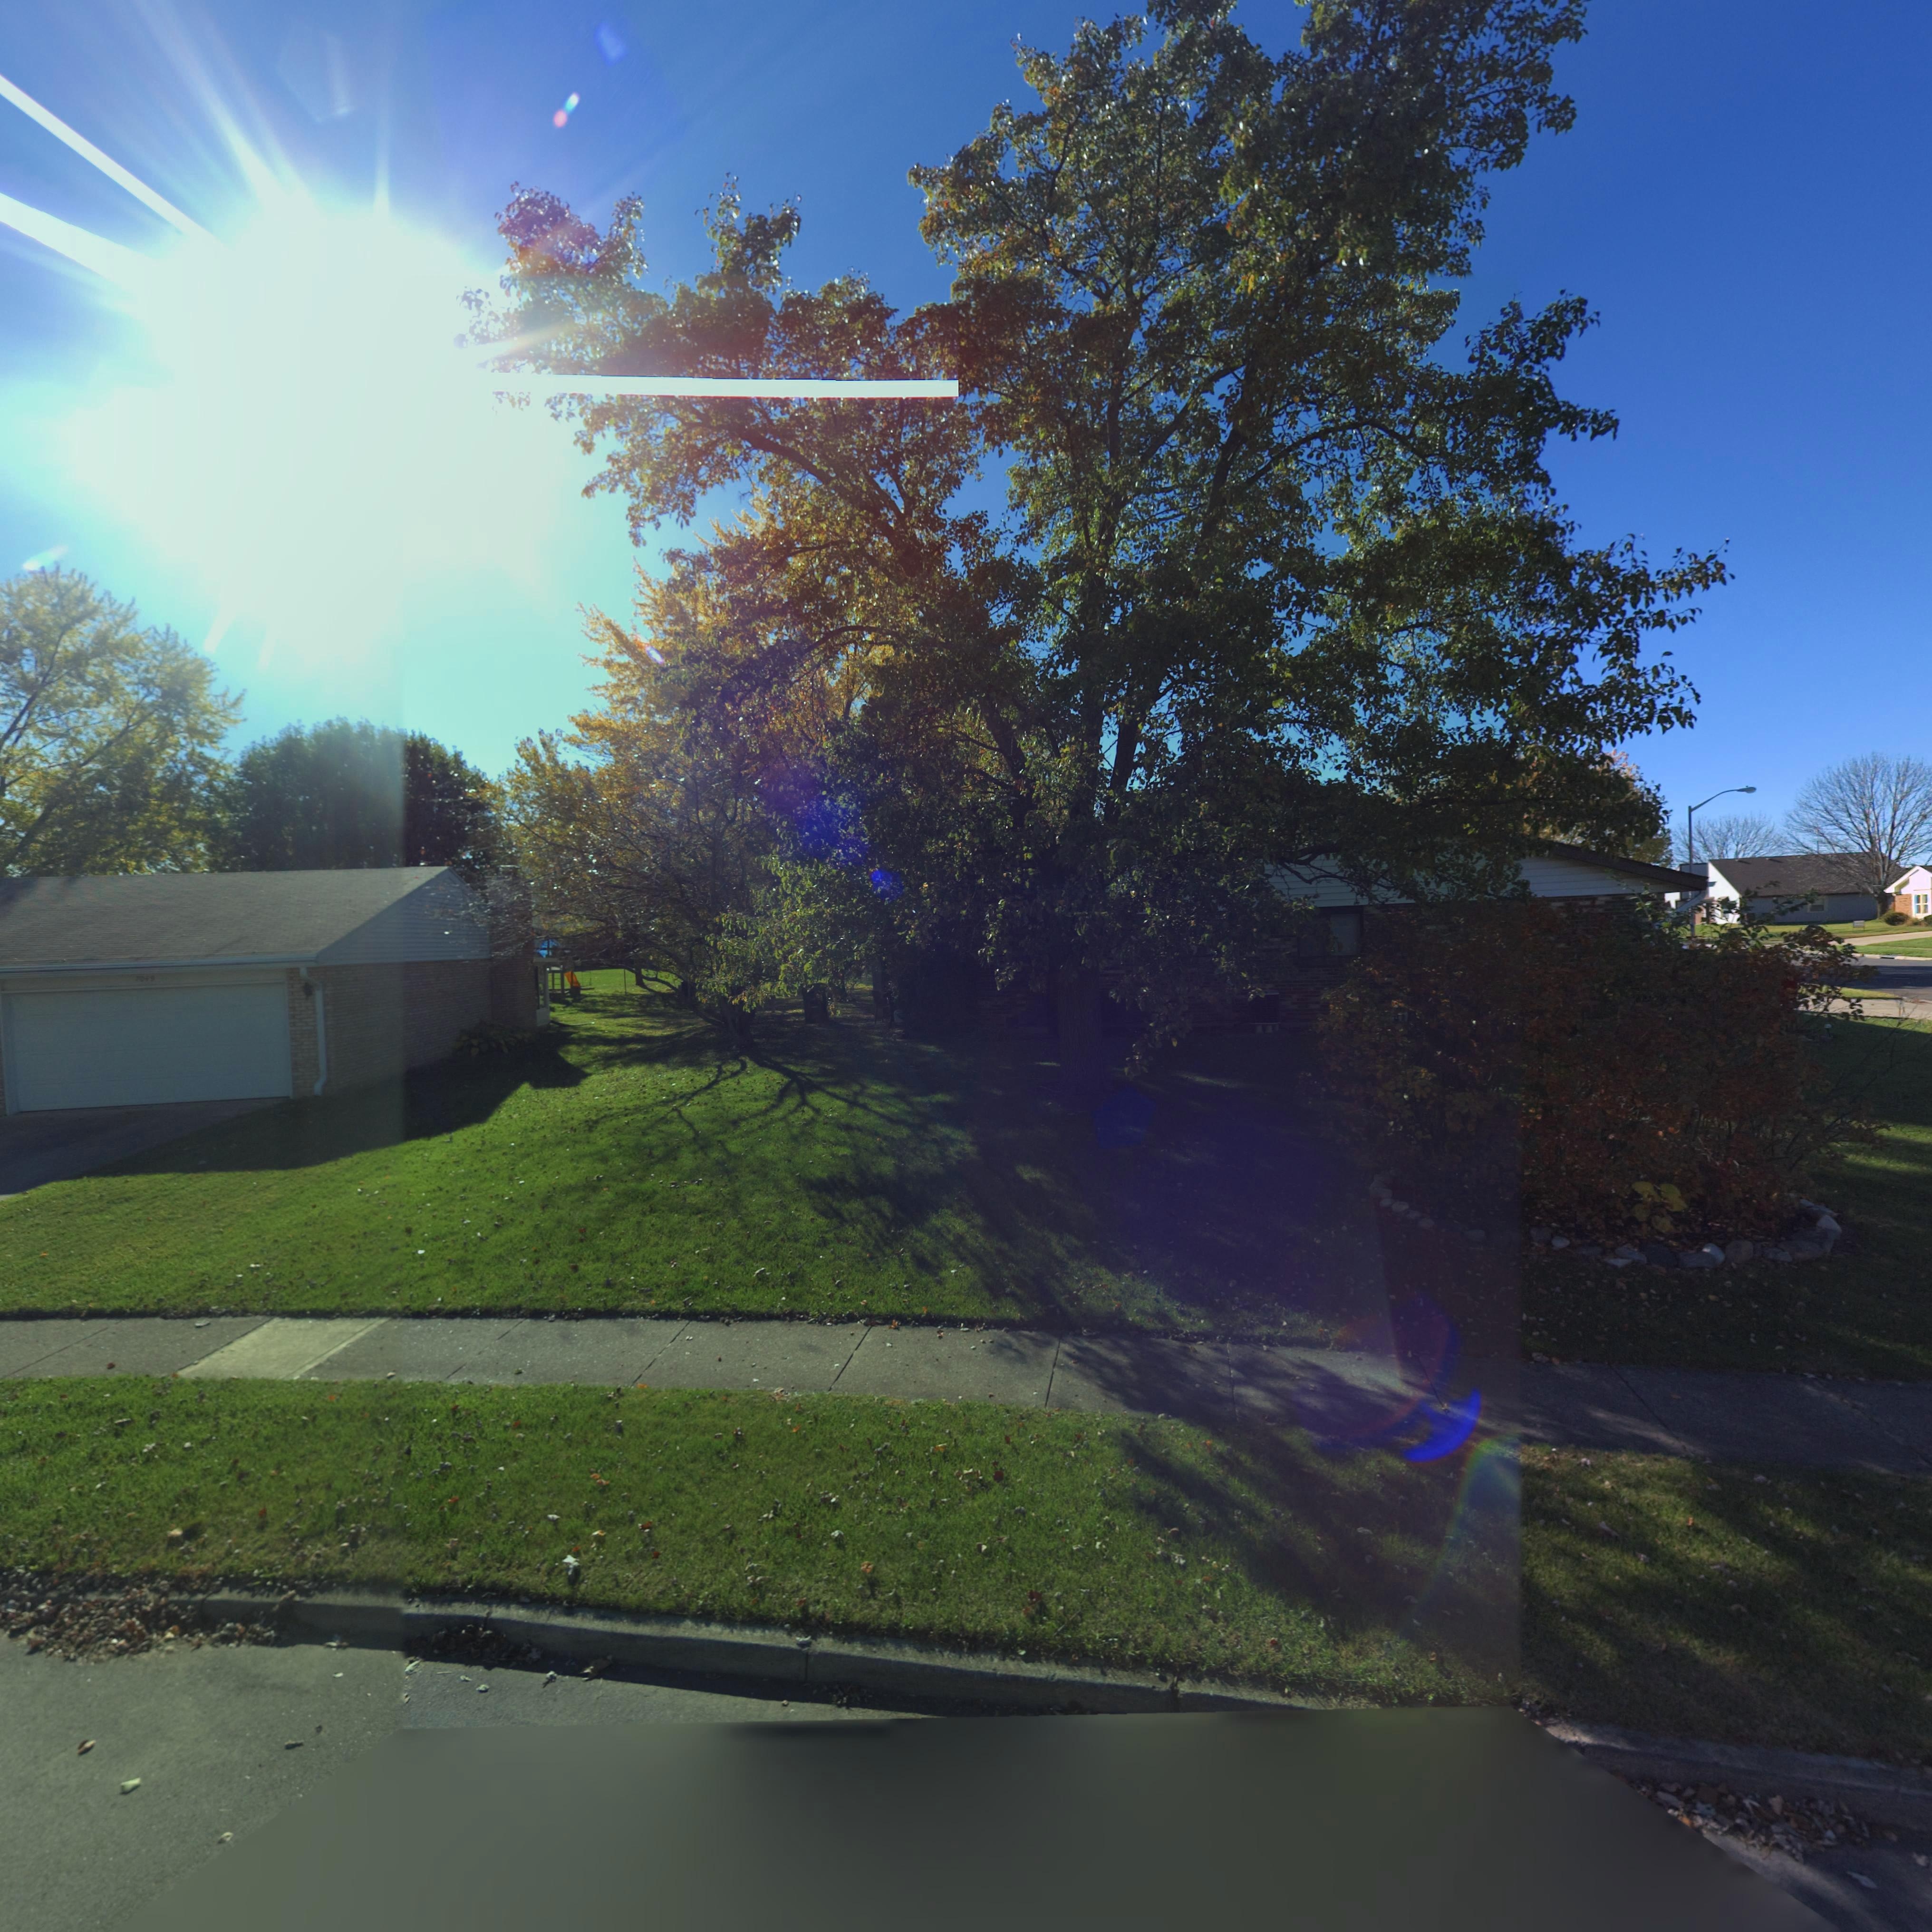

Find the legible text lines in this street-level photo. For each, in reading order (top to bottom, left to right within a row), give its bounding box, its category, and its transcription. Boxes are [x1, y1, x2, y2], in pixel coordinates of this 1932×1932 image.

[134, 975, 156, 982] StreetNumber: 7049